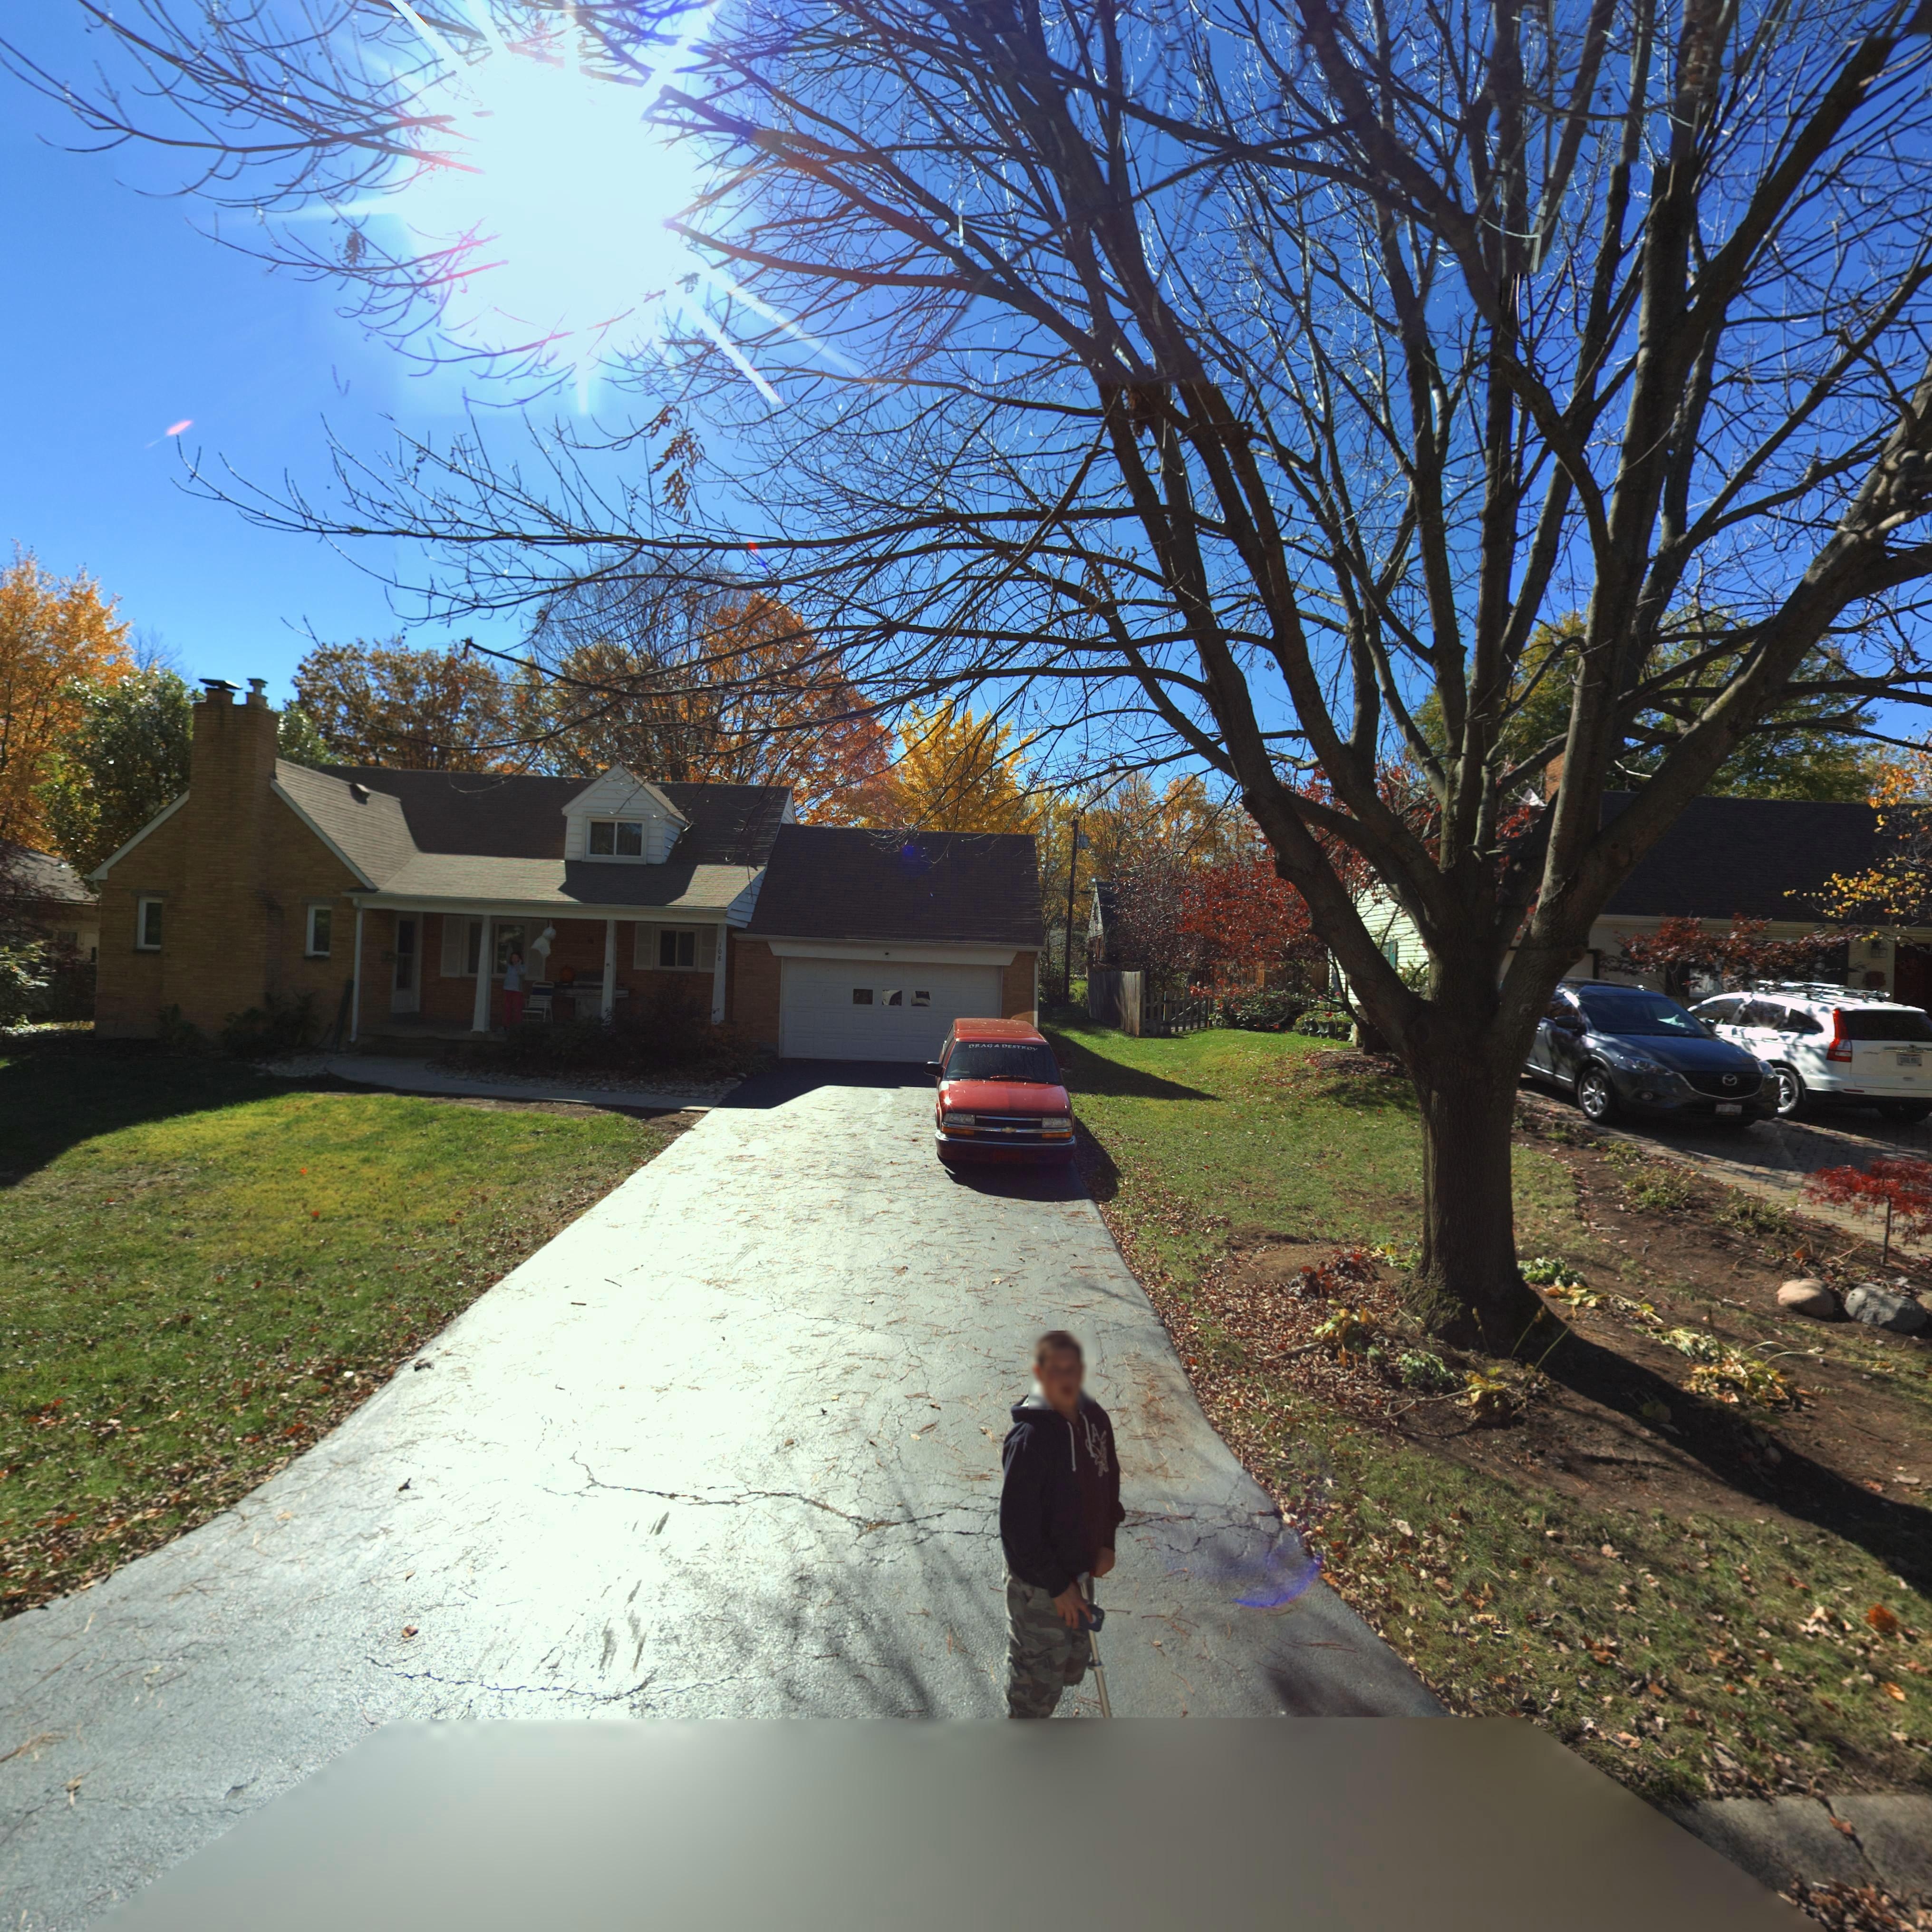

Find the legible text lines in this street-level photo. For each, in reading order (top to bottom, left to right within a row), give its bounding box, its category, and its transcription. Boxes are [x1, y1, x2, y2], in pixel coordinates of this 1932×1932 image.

[717, 941, 723, 963] StreetNumber: 108